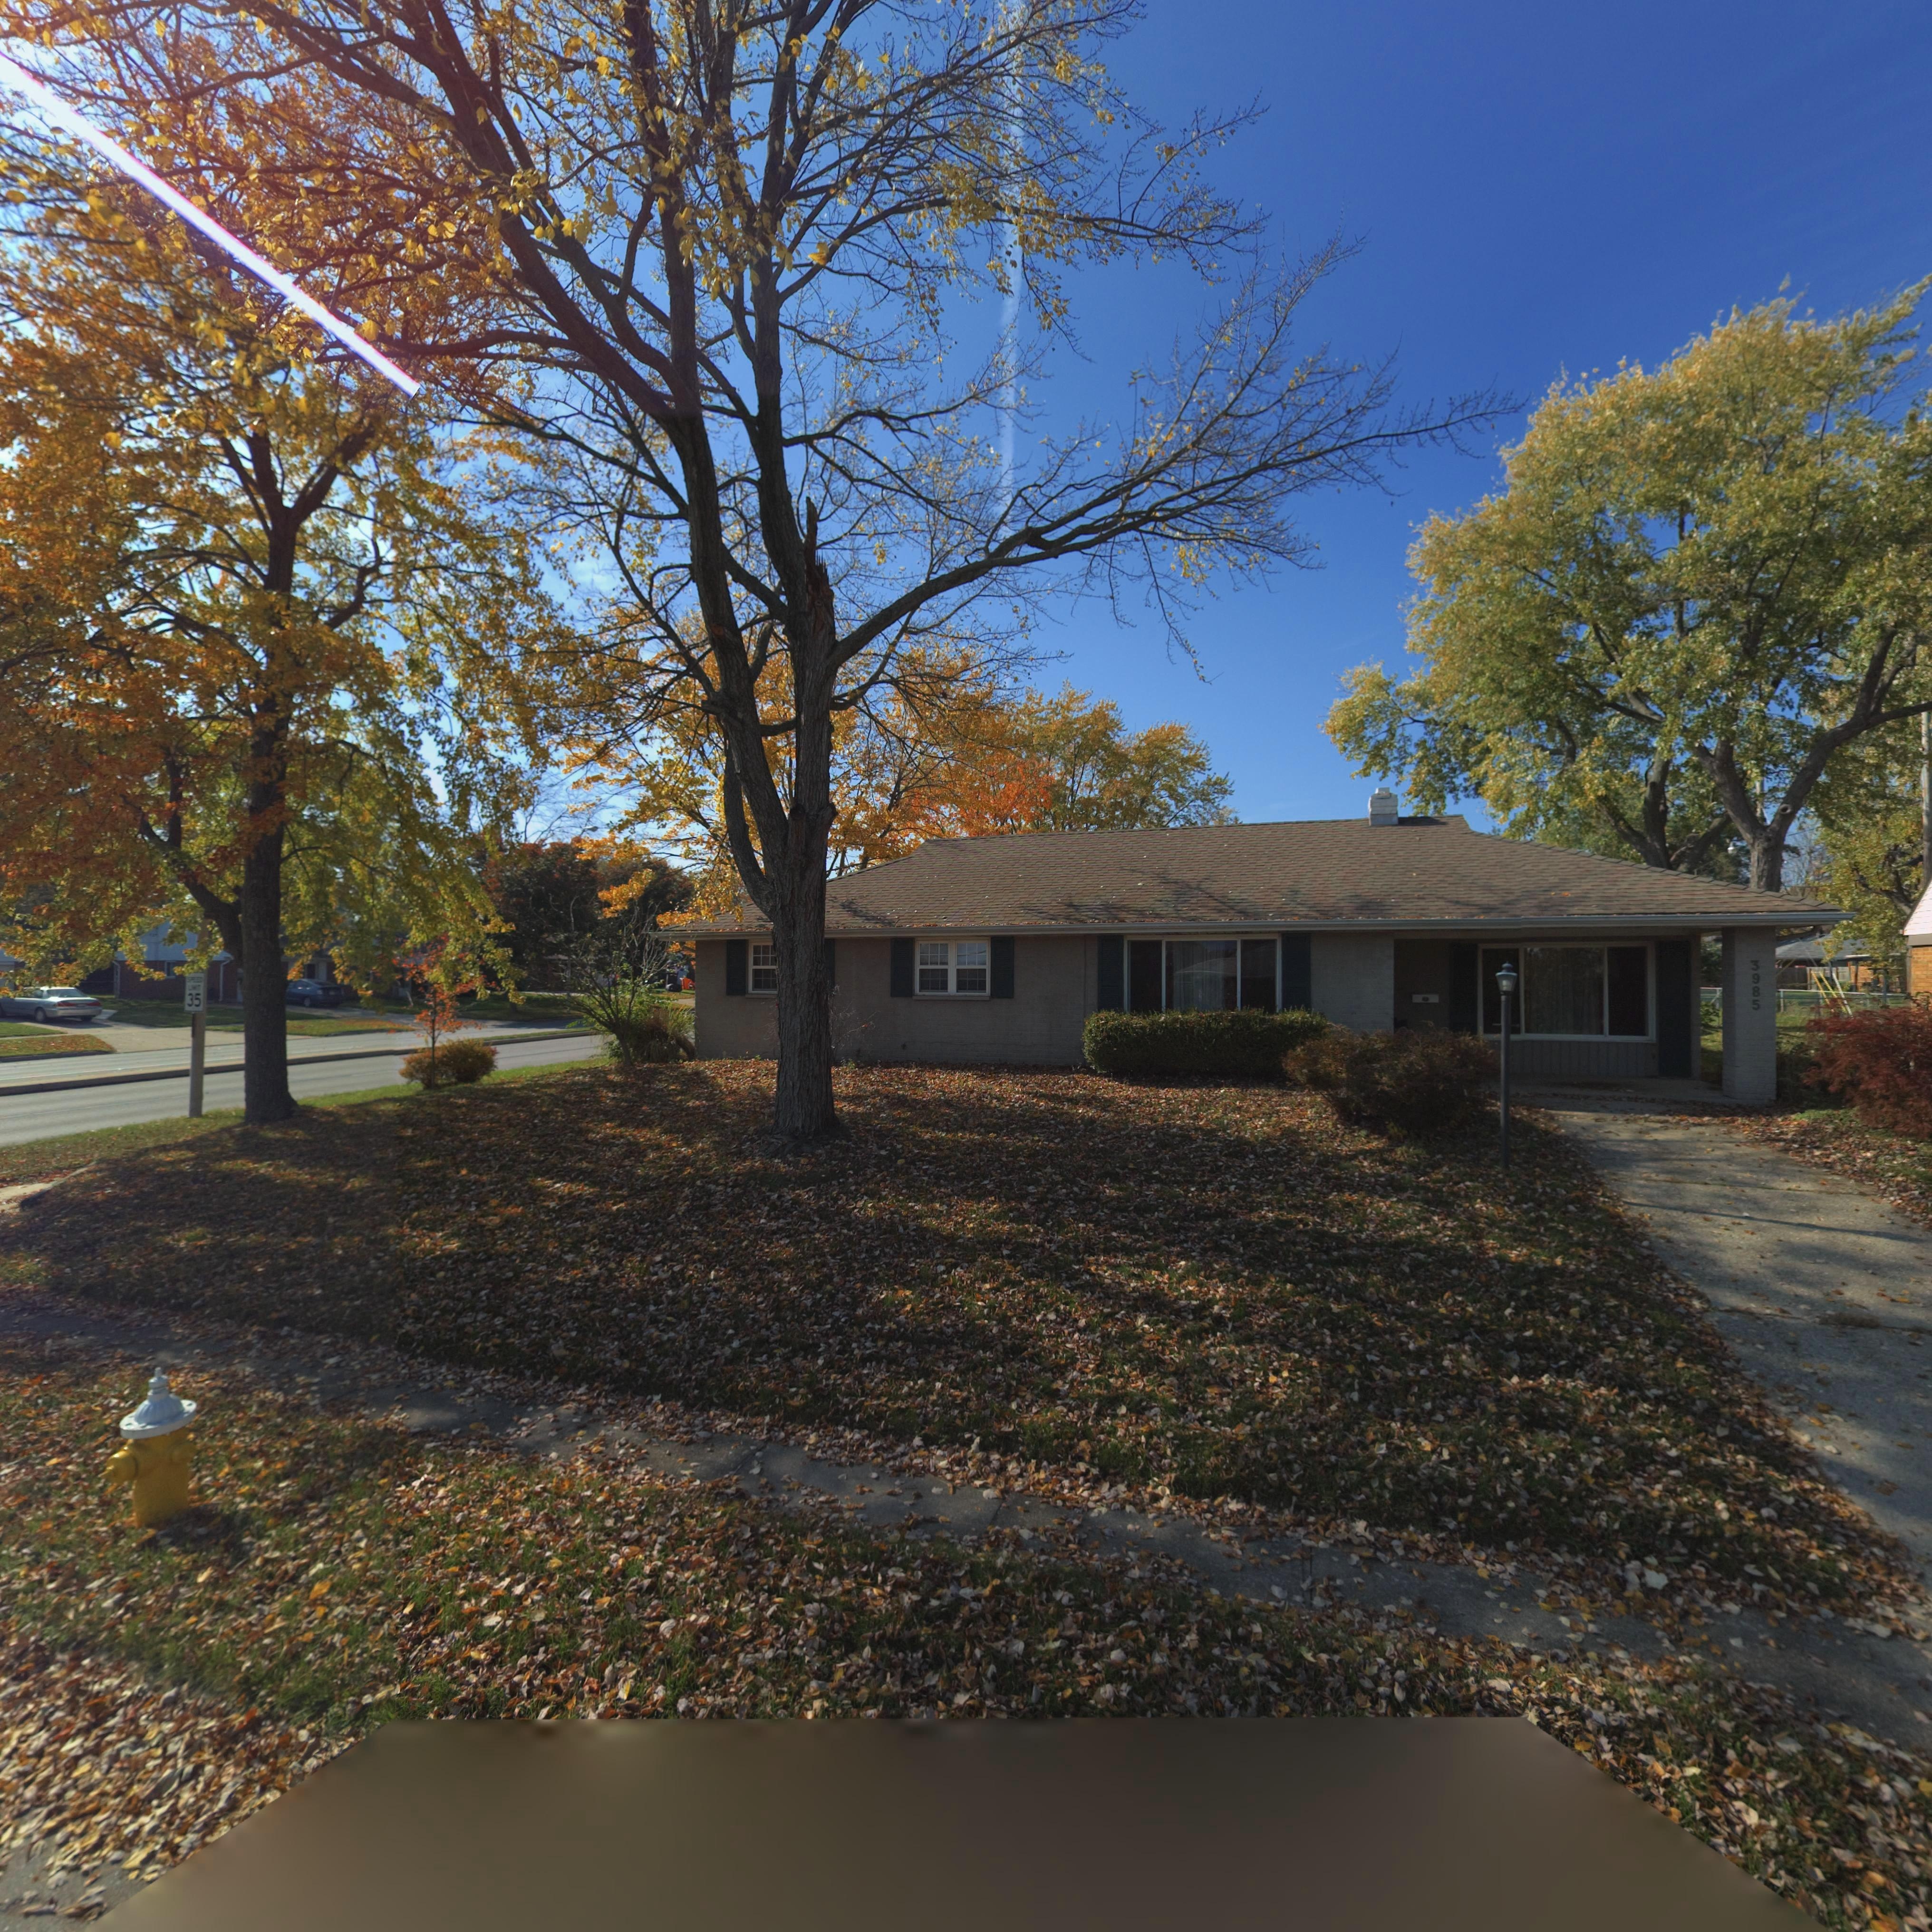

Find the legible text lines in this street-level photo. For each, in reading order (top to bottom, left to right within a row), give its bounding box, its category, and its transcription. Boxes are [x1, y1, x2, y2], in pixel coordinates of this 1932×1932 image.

[185, 991, 202, 1008] None: 35
[1749, 958, 1762, 1013] StreetNumber: 3985